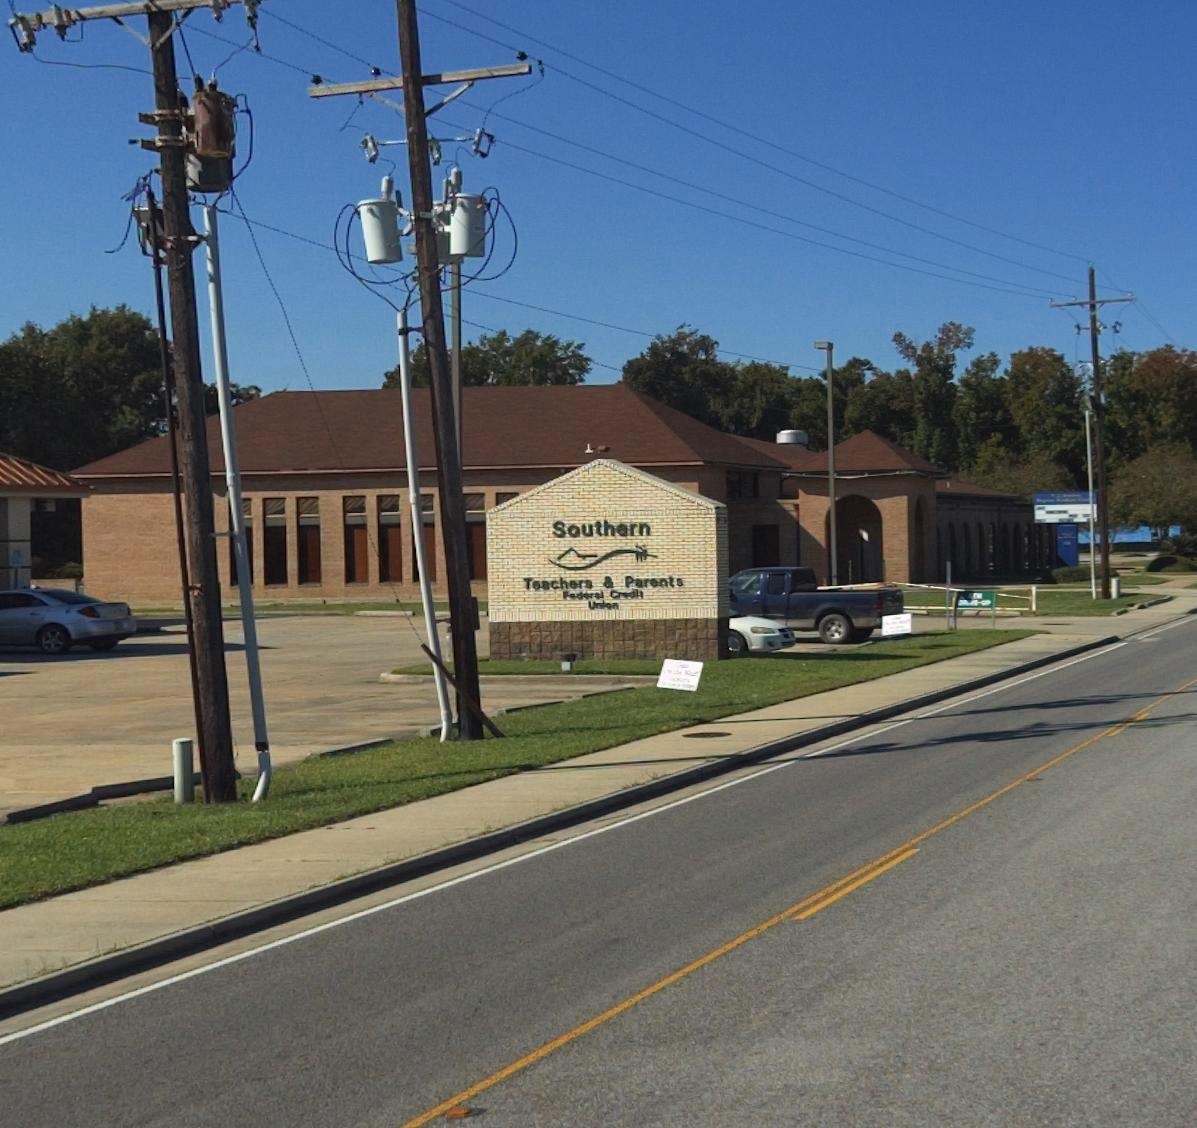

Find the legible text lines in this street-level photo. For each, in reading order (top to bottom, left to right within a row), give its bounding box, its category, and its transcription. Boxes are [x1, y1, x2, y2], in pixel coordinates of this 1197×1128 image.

[551, 519, 652, 539] BusinessName: Southern
[522, 575, 685, 591] BusinessName: Teachers & Parents
[561, 588, 646, 601] BusinessName: Federal Credit
[587, 600, 621, 611] BusinessName: Union